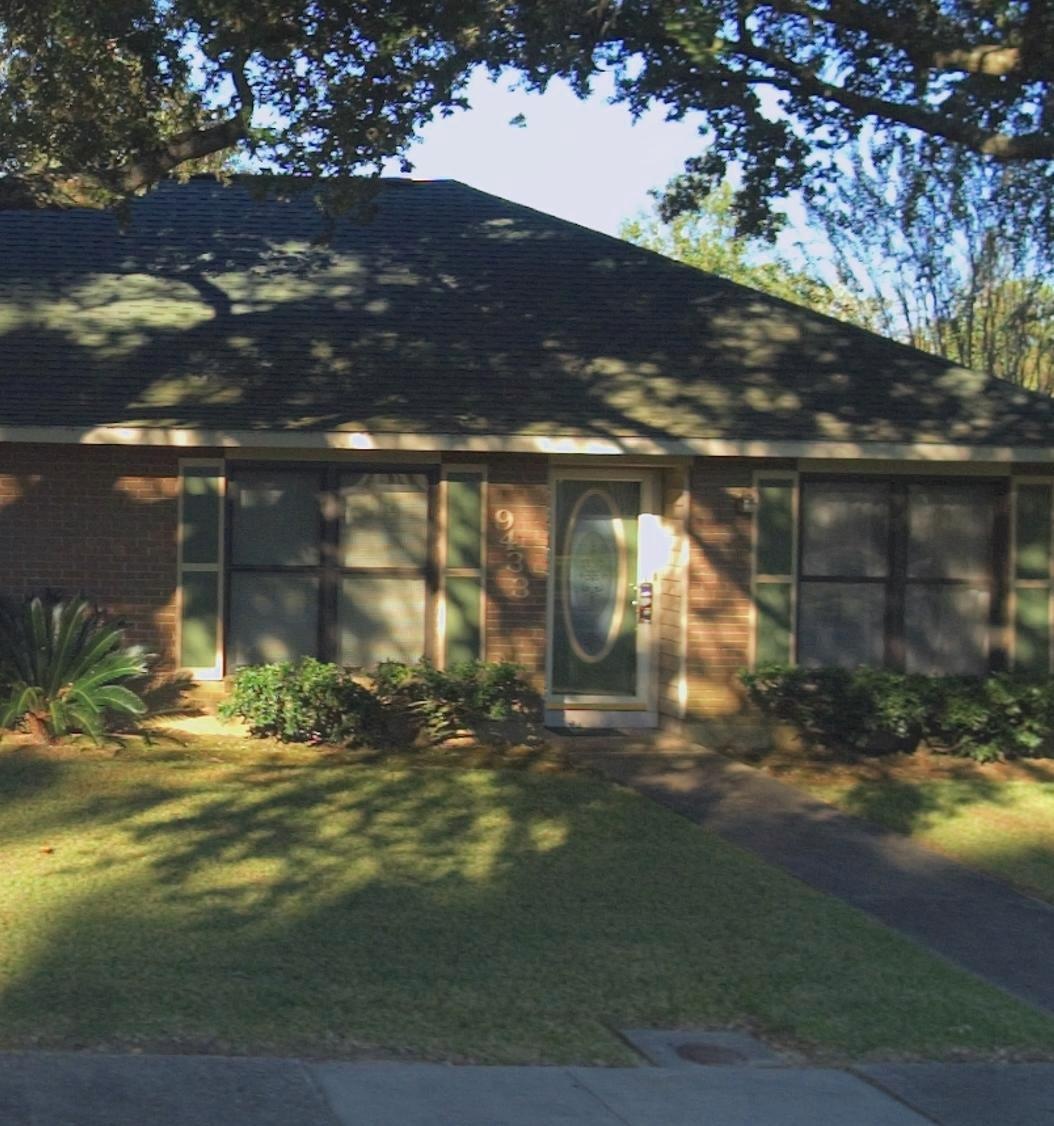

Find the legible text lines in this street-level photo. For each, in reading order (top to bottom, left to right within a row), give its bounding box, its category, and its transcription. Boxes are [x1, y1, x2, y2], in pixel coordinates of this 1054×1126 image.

[492, 508, 535, 599] StreetNumber: 9433